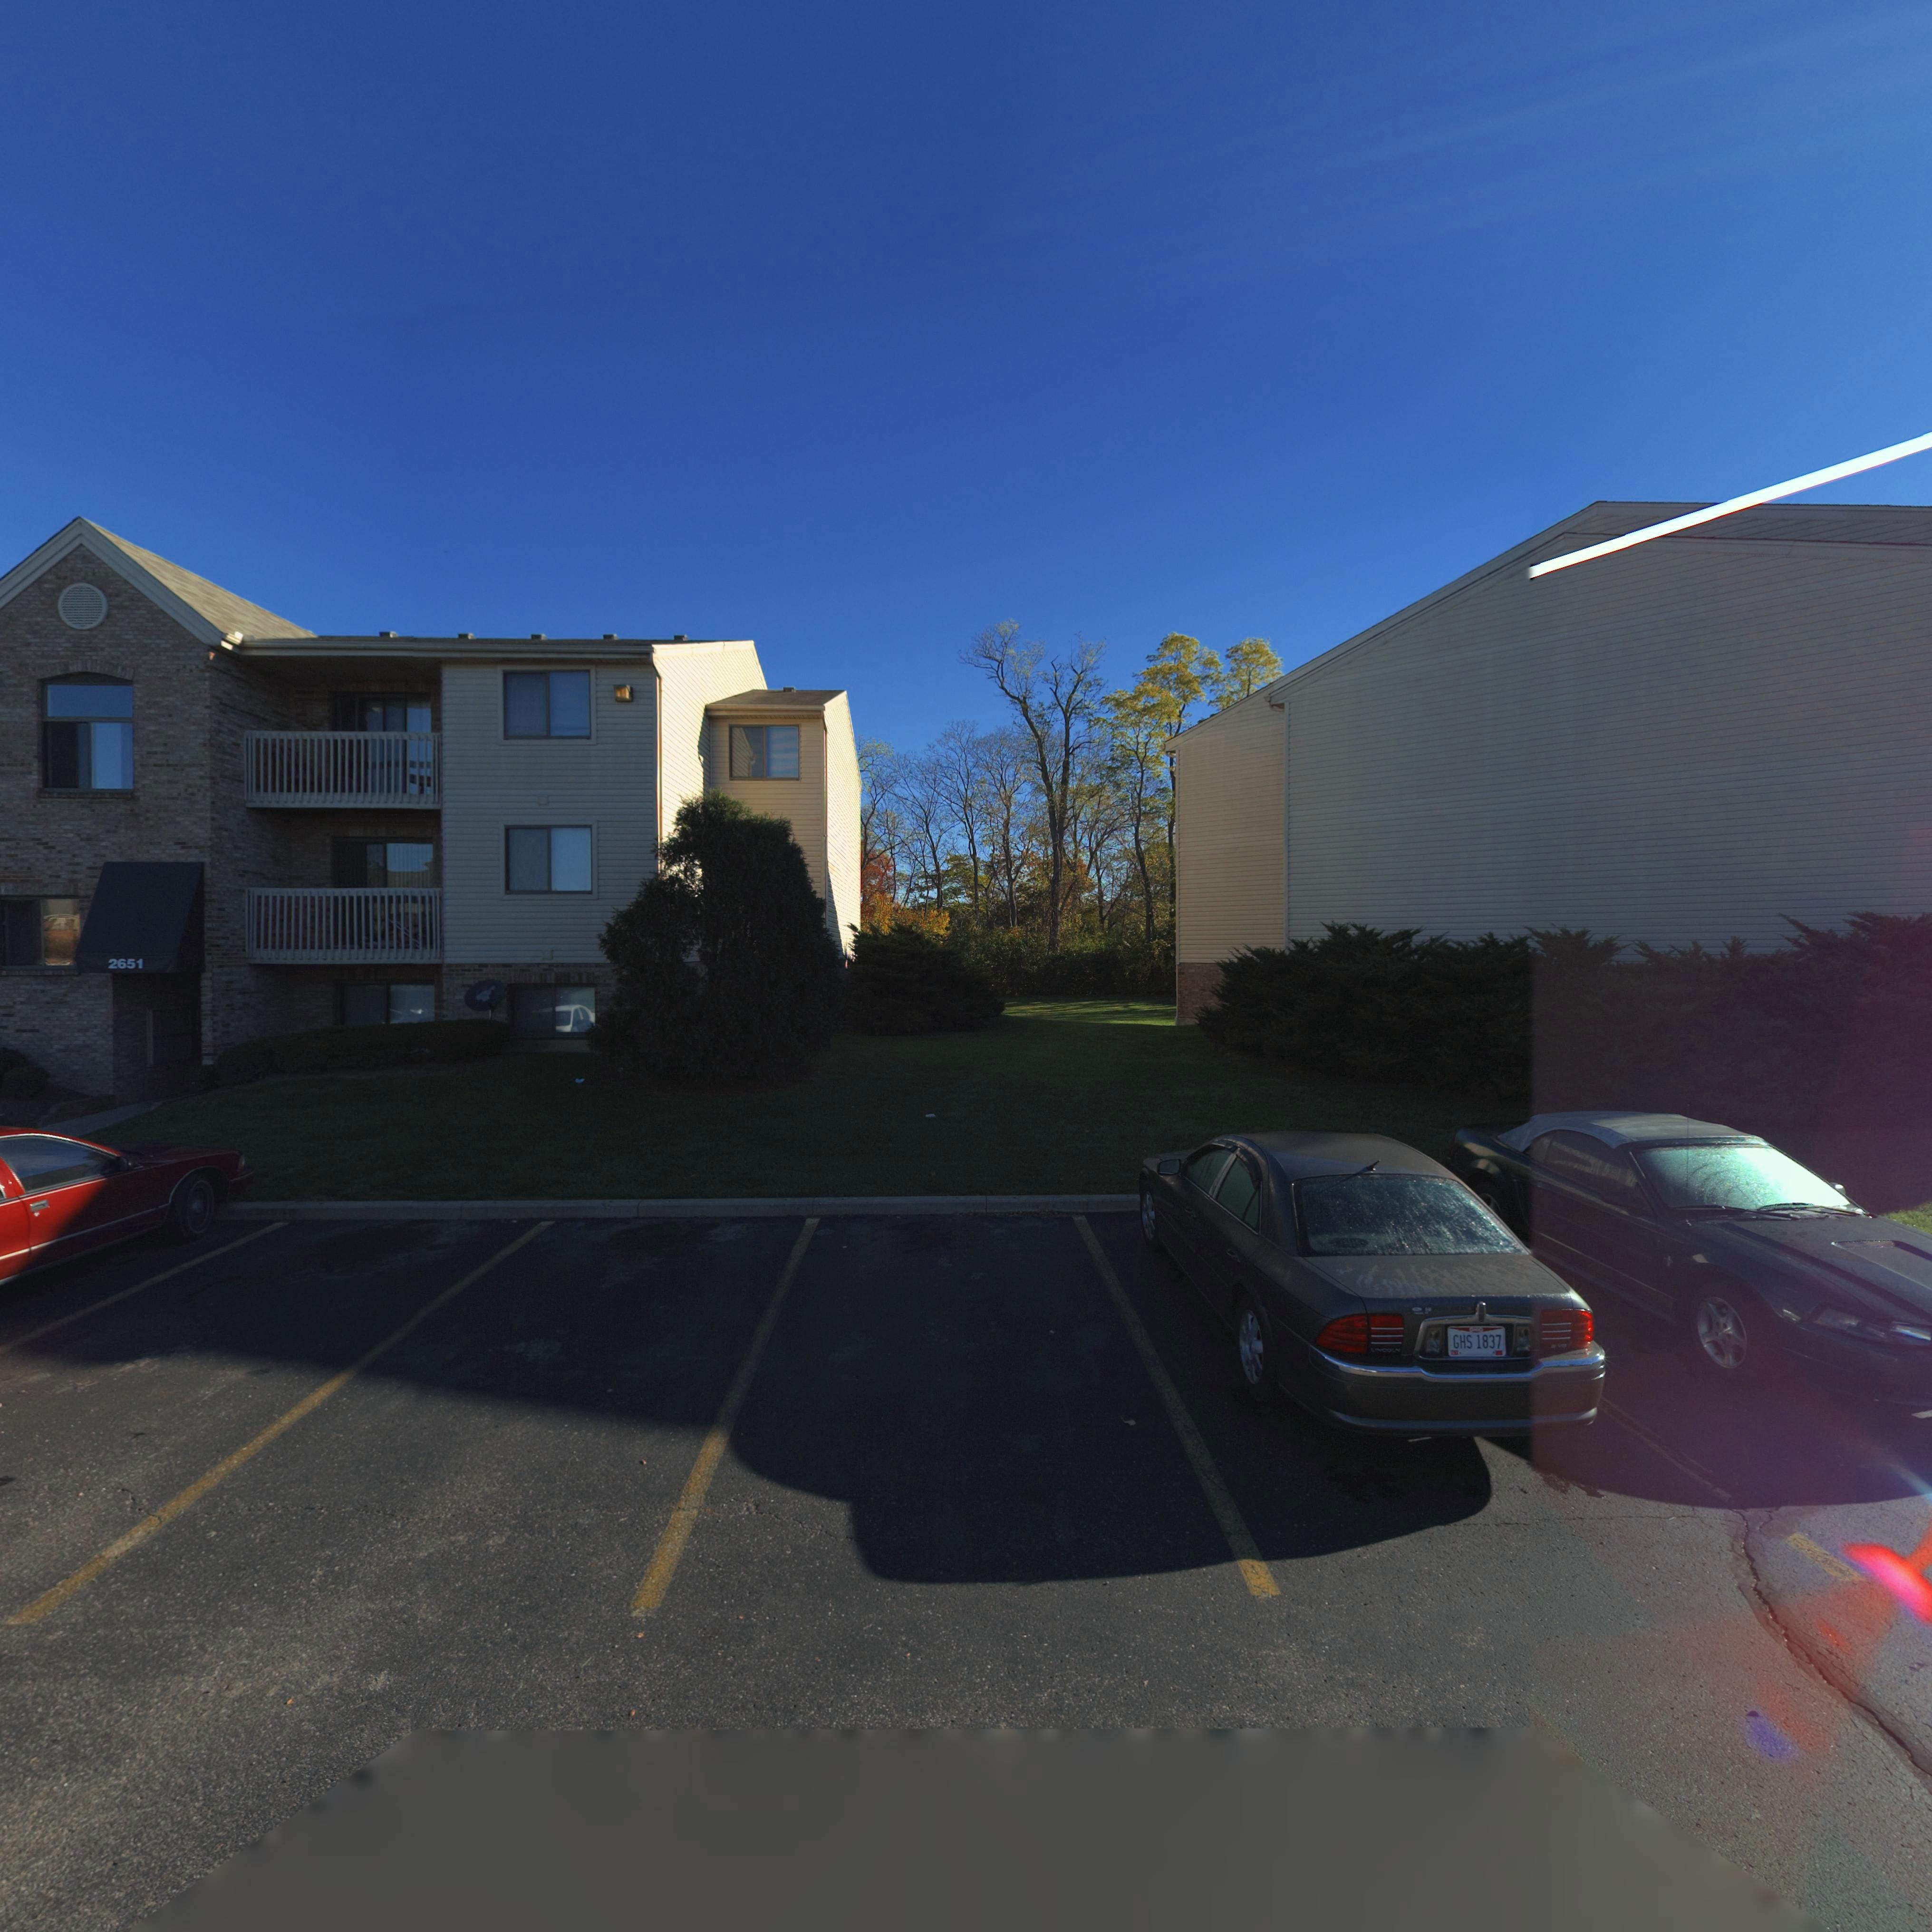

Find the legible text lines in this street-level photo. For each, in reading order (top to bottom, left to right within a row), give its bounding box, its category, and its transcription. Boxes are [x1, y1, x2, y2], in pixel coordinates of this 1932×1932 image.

[107, 957, 144, 970] StreetNumber: 2651